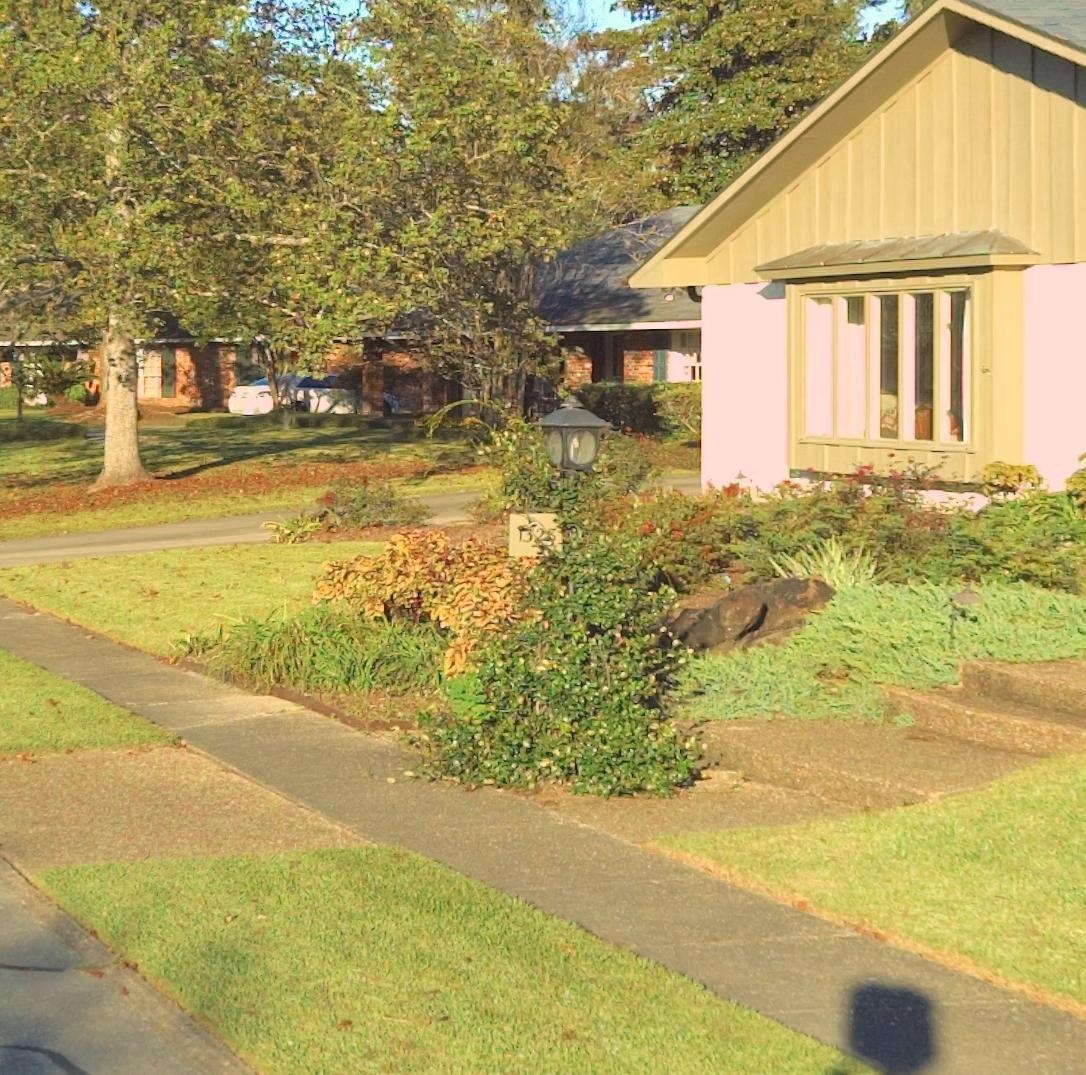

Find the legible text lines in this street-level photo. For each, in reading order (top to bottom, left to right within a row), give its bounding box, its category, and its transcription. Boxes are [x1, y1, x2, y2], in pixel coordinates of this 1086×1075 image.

[515, 524, 558, 544] StreetNumber: 13**